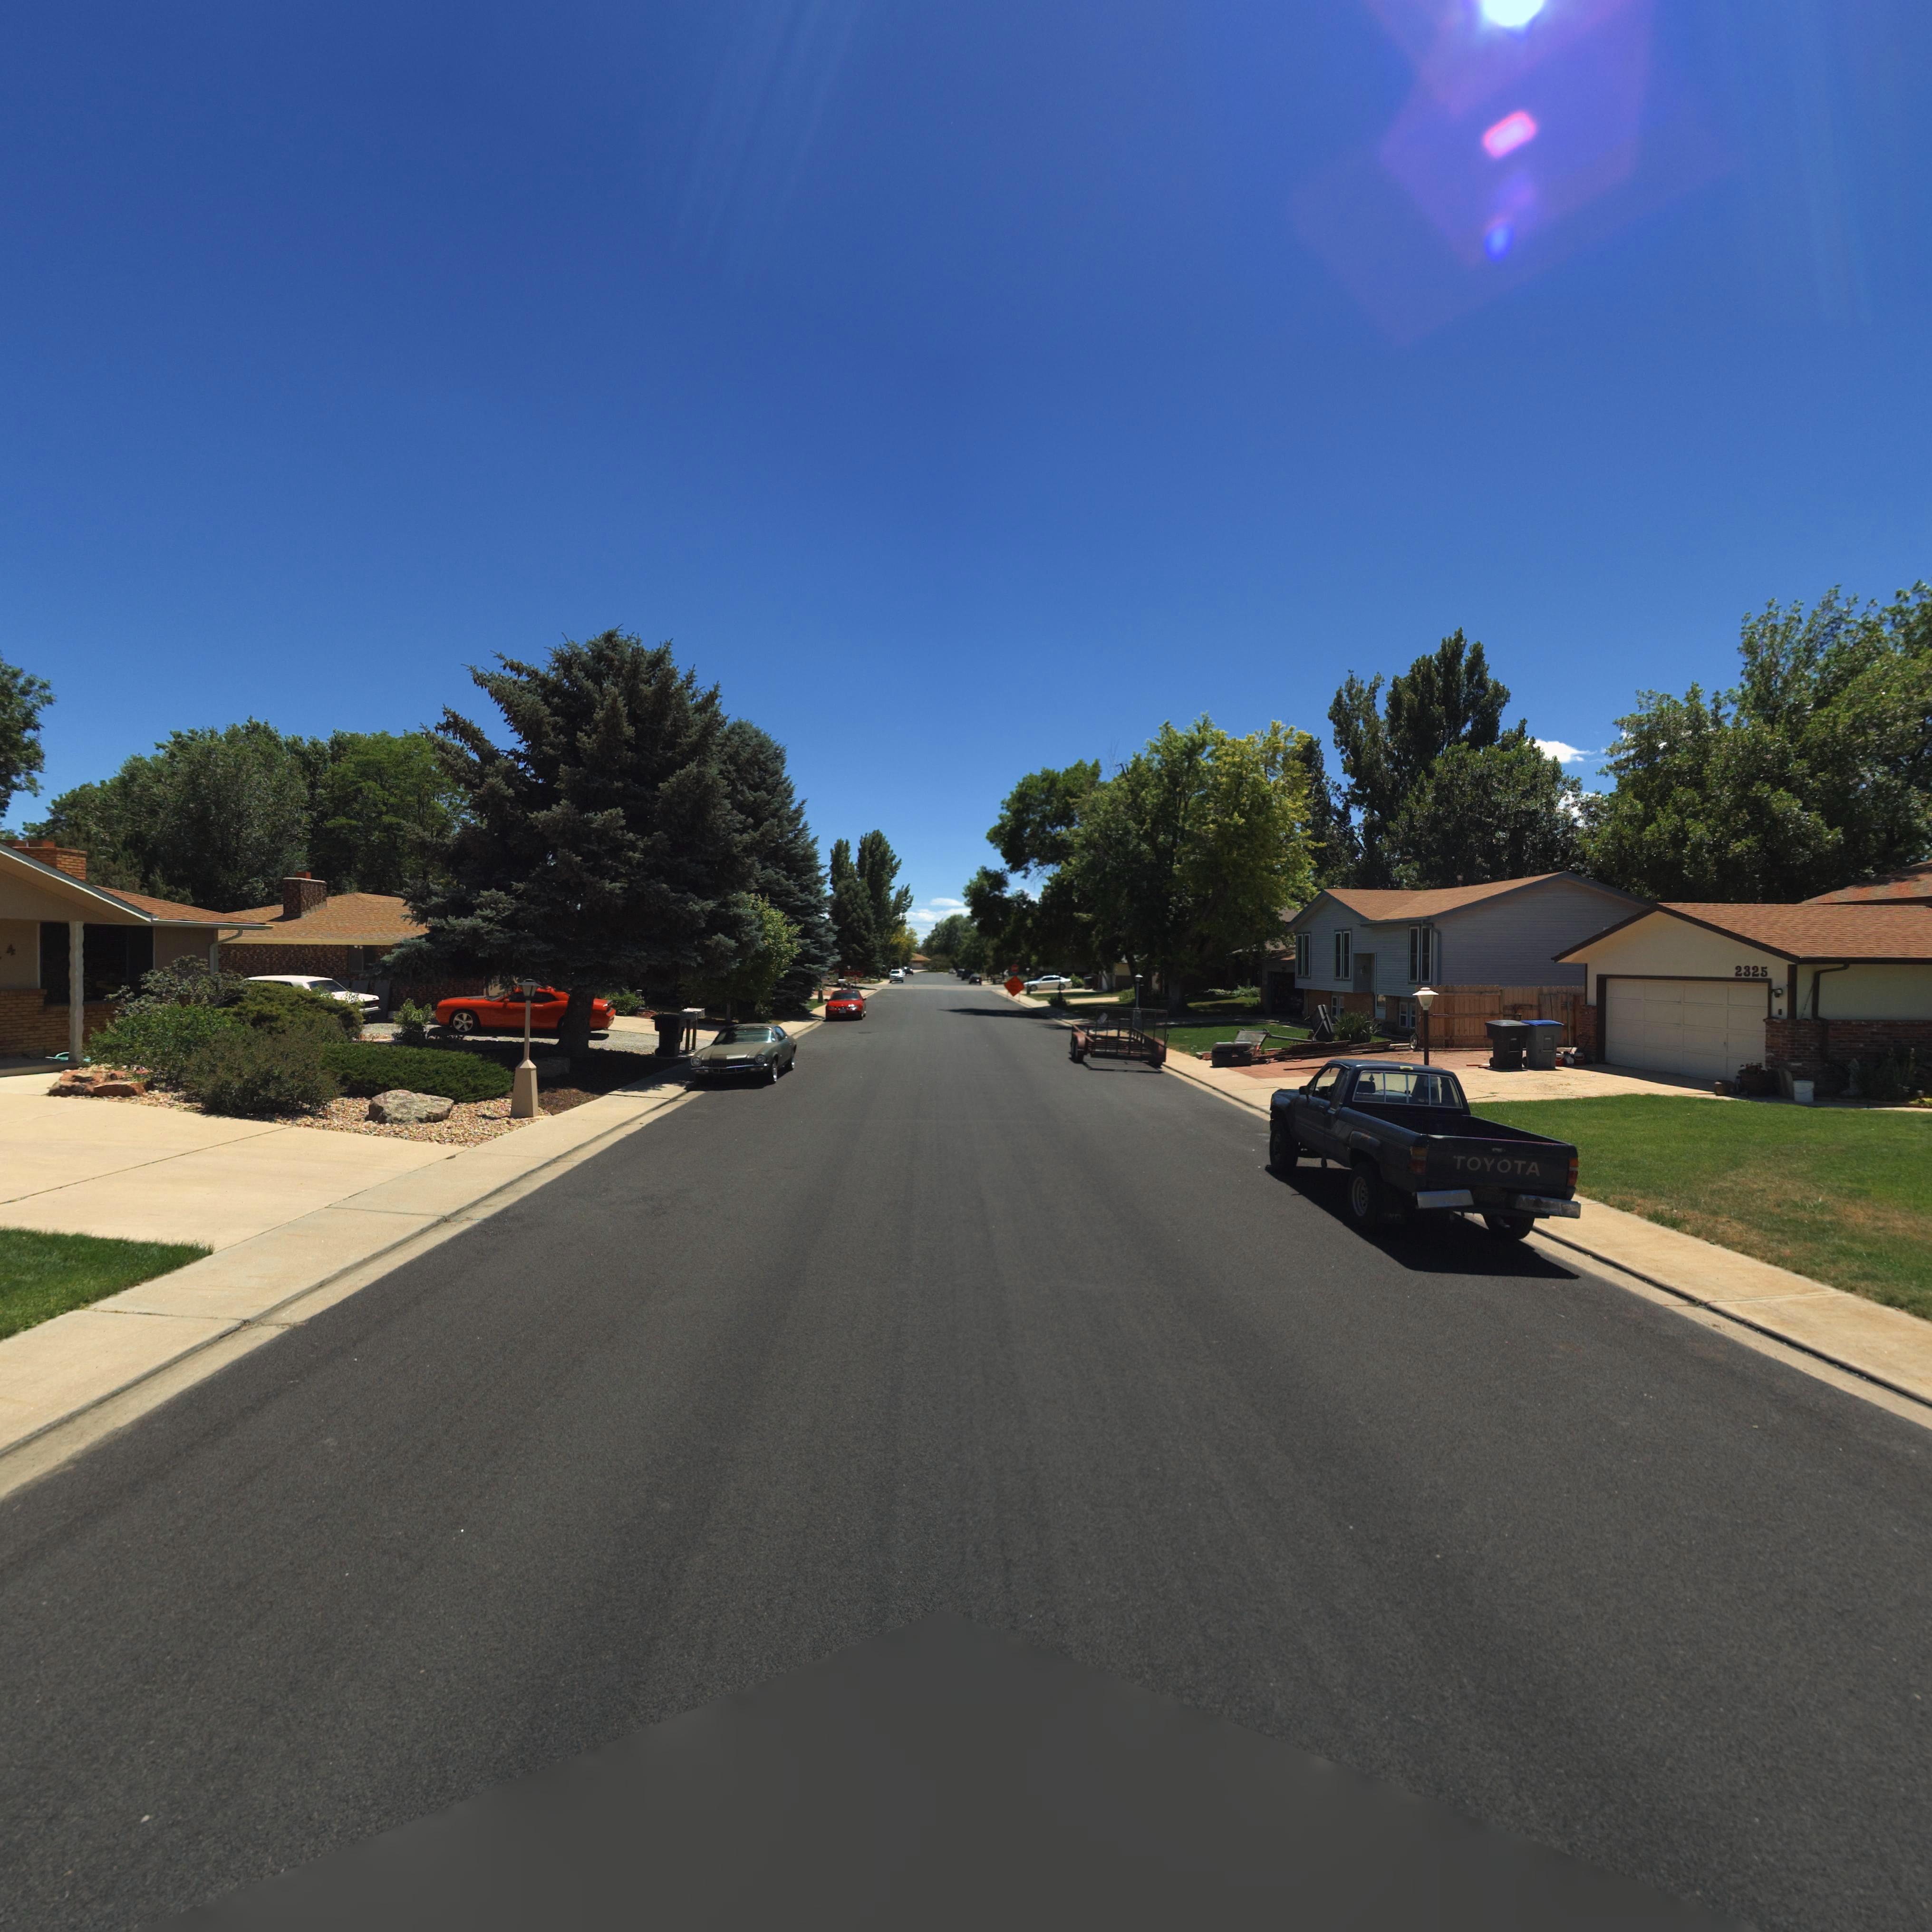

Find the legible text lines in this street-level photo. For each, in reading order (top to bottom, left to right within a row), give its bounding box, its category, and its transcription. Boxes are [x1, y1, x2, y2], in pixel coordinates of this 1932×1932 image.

[5, 943, 16, 956] StreetNumber: 4
[1734, 965, 1768, 977] StreetNumber: 2325